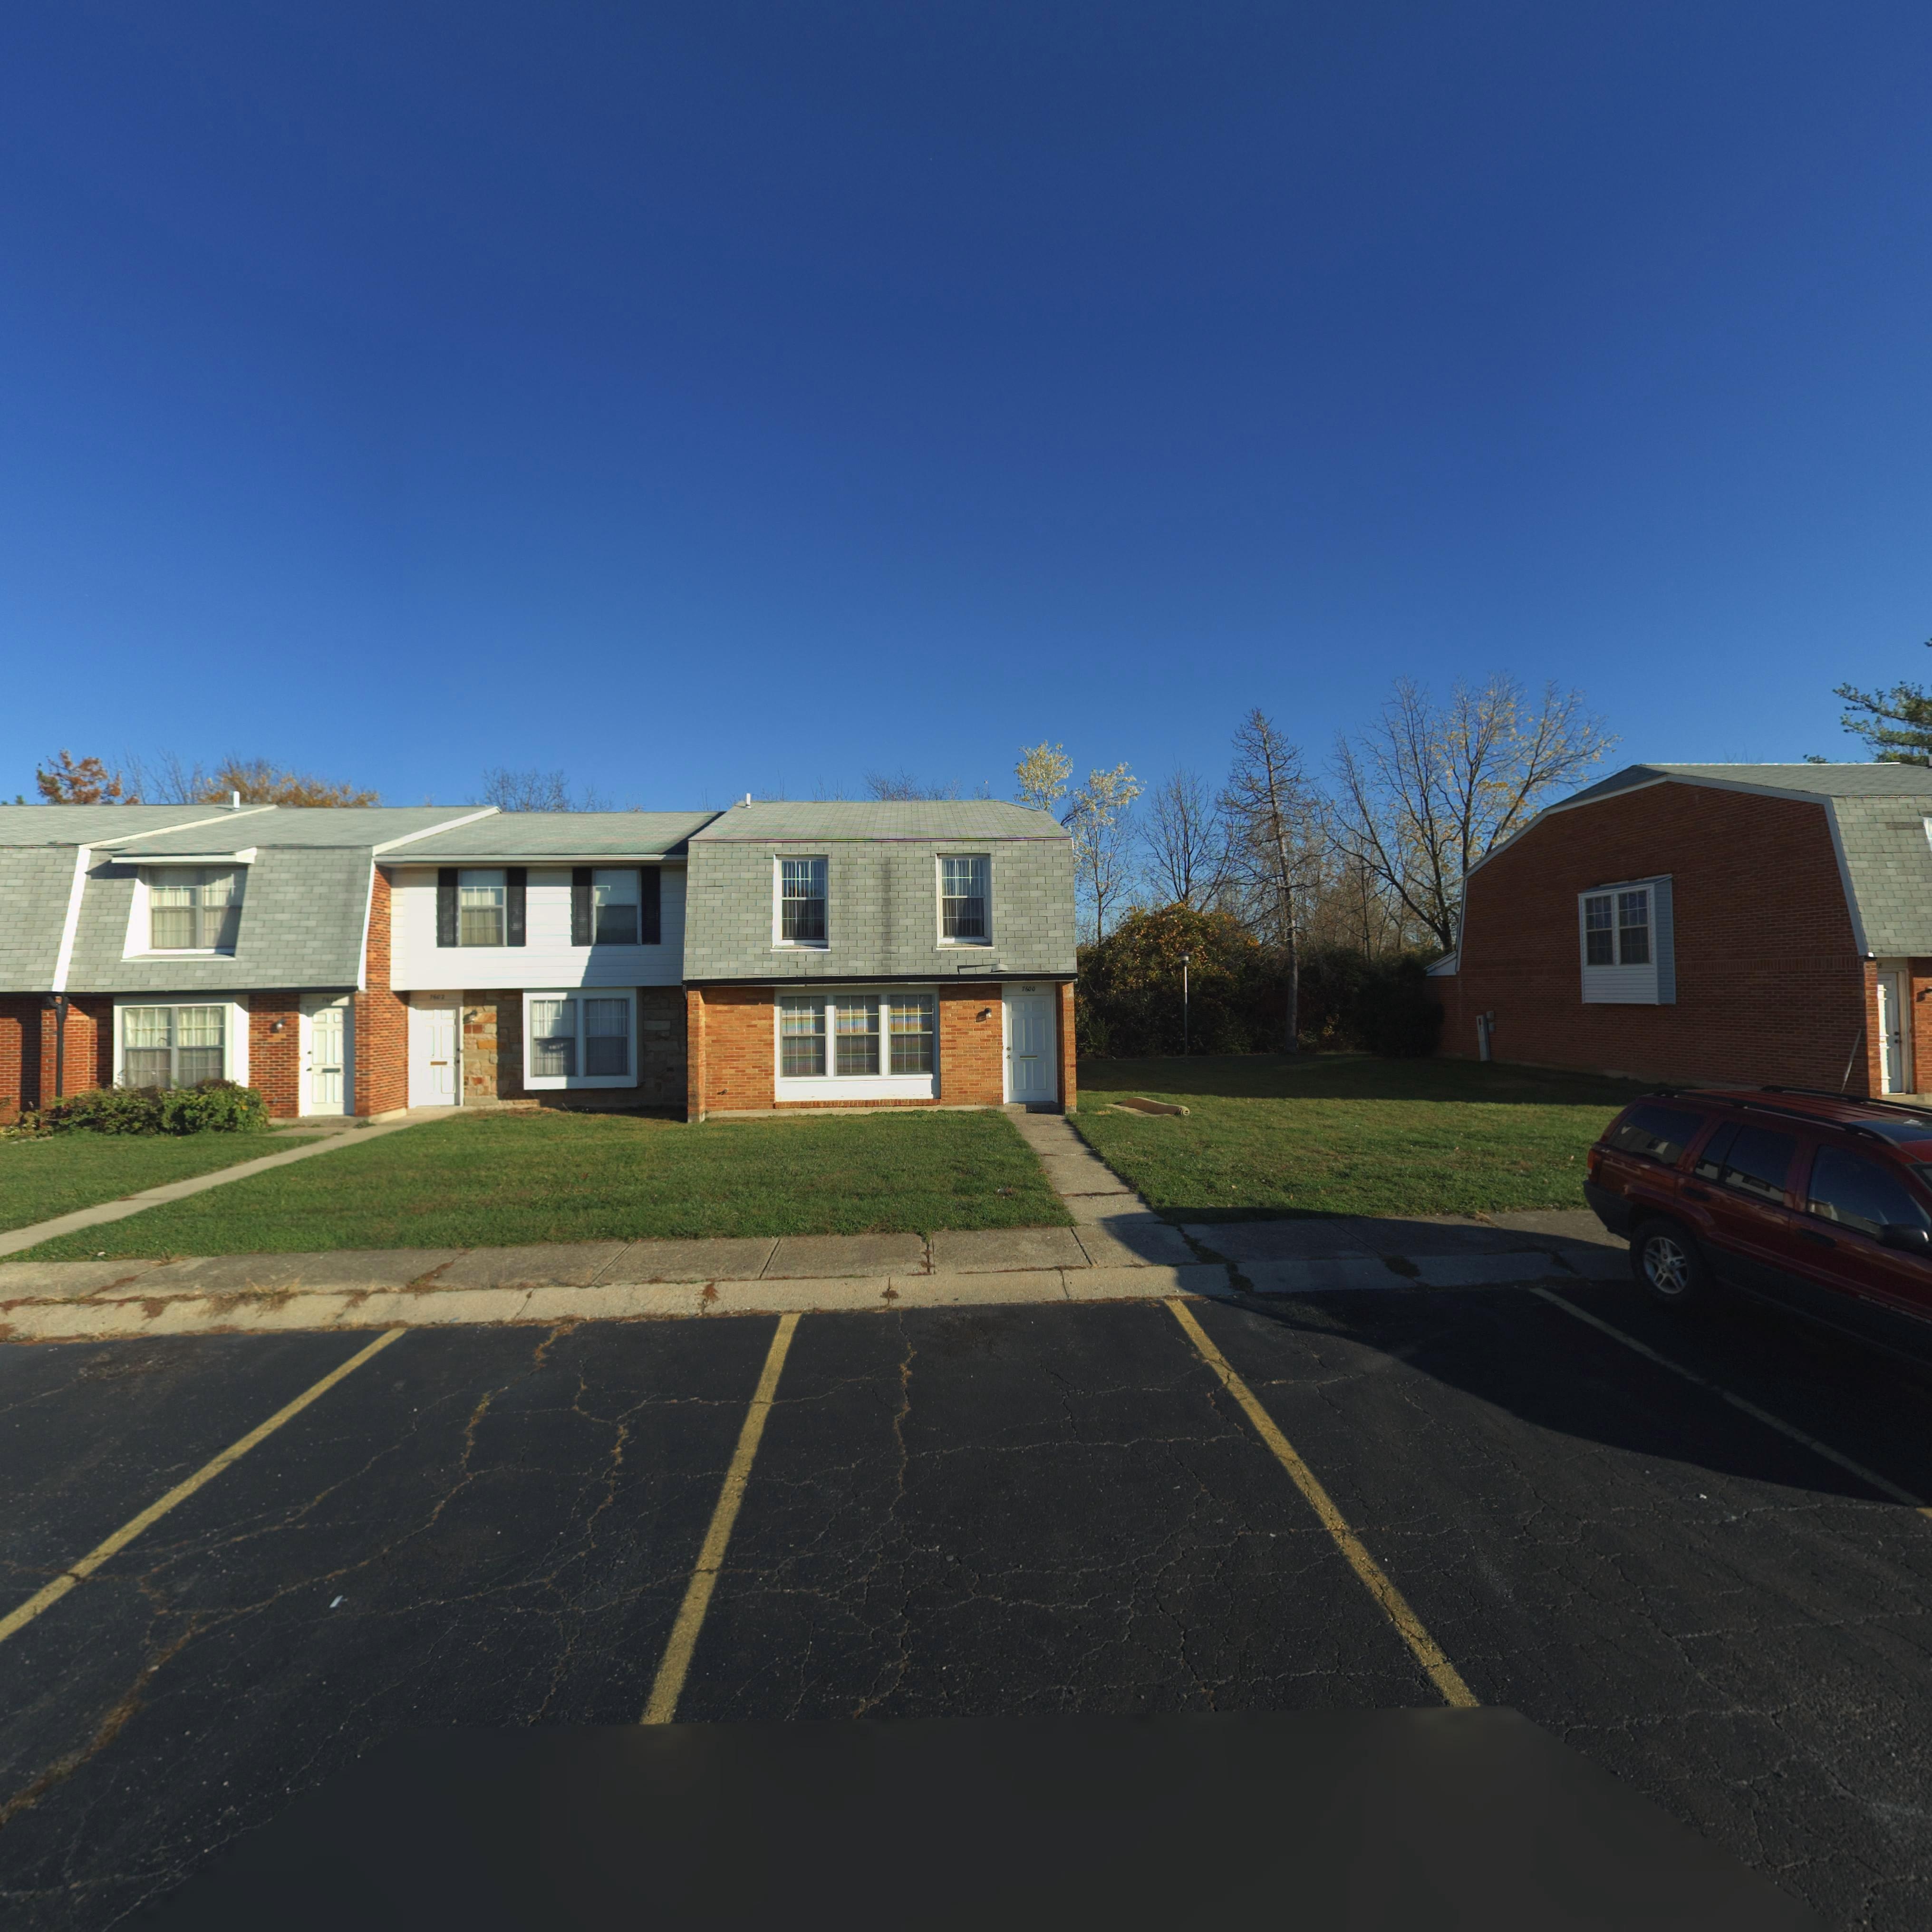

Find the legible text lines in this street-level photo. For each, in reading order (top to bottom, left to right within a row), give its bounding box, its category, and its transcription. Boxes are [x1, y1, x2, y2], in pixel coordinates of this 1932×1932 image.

[1021, 985, 1037, 993] StreetNumber: 7600
[428, 993, 446, 1002] StreetNumber: 760*